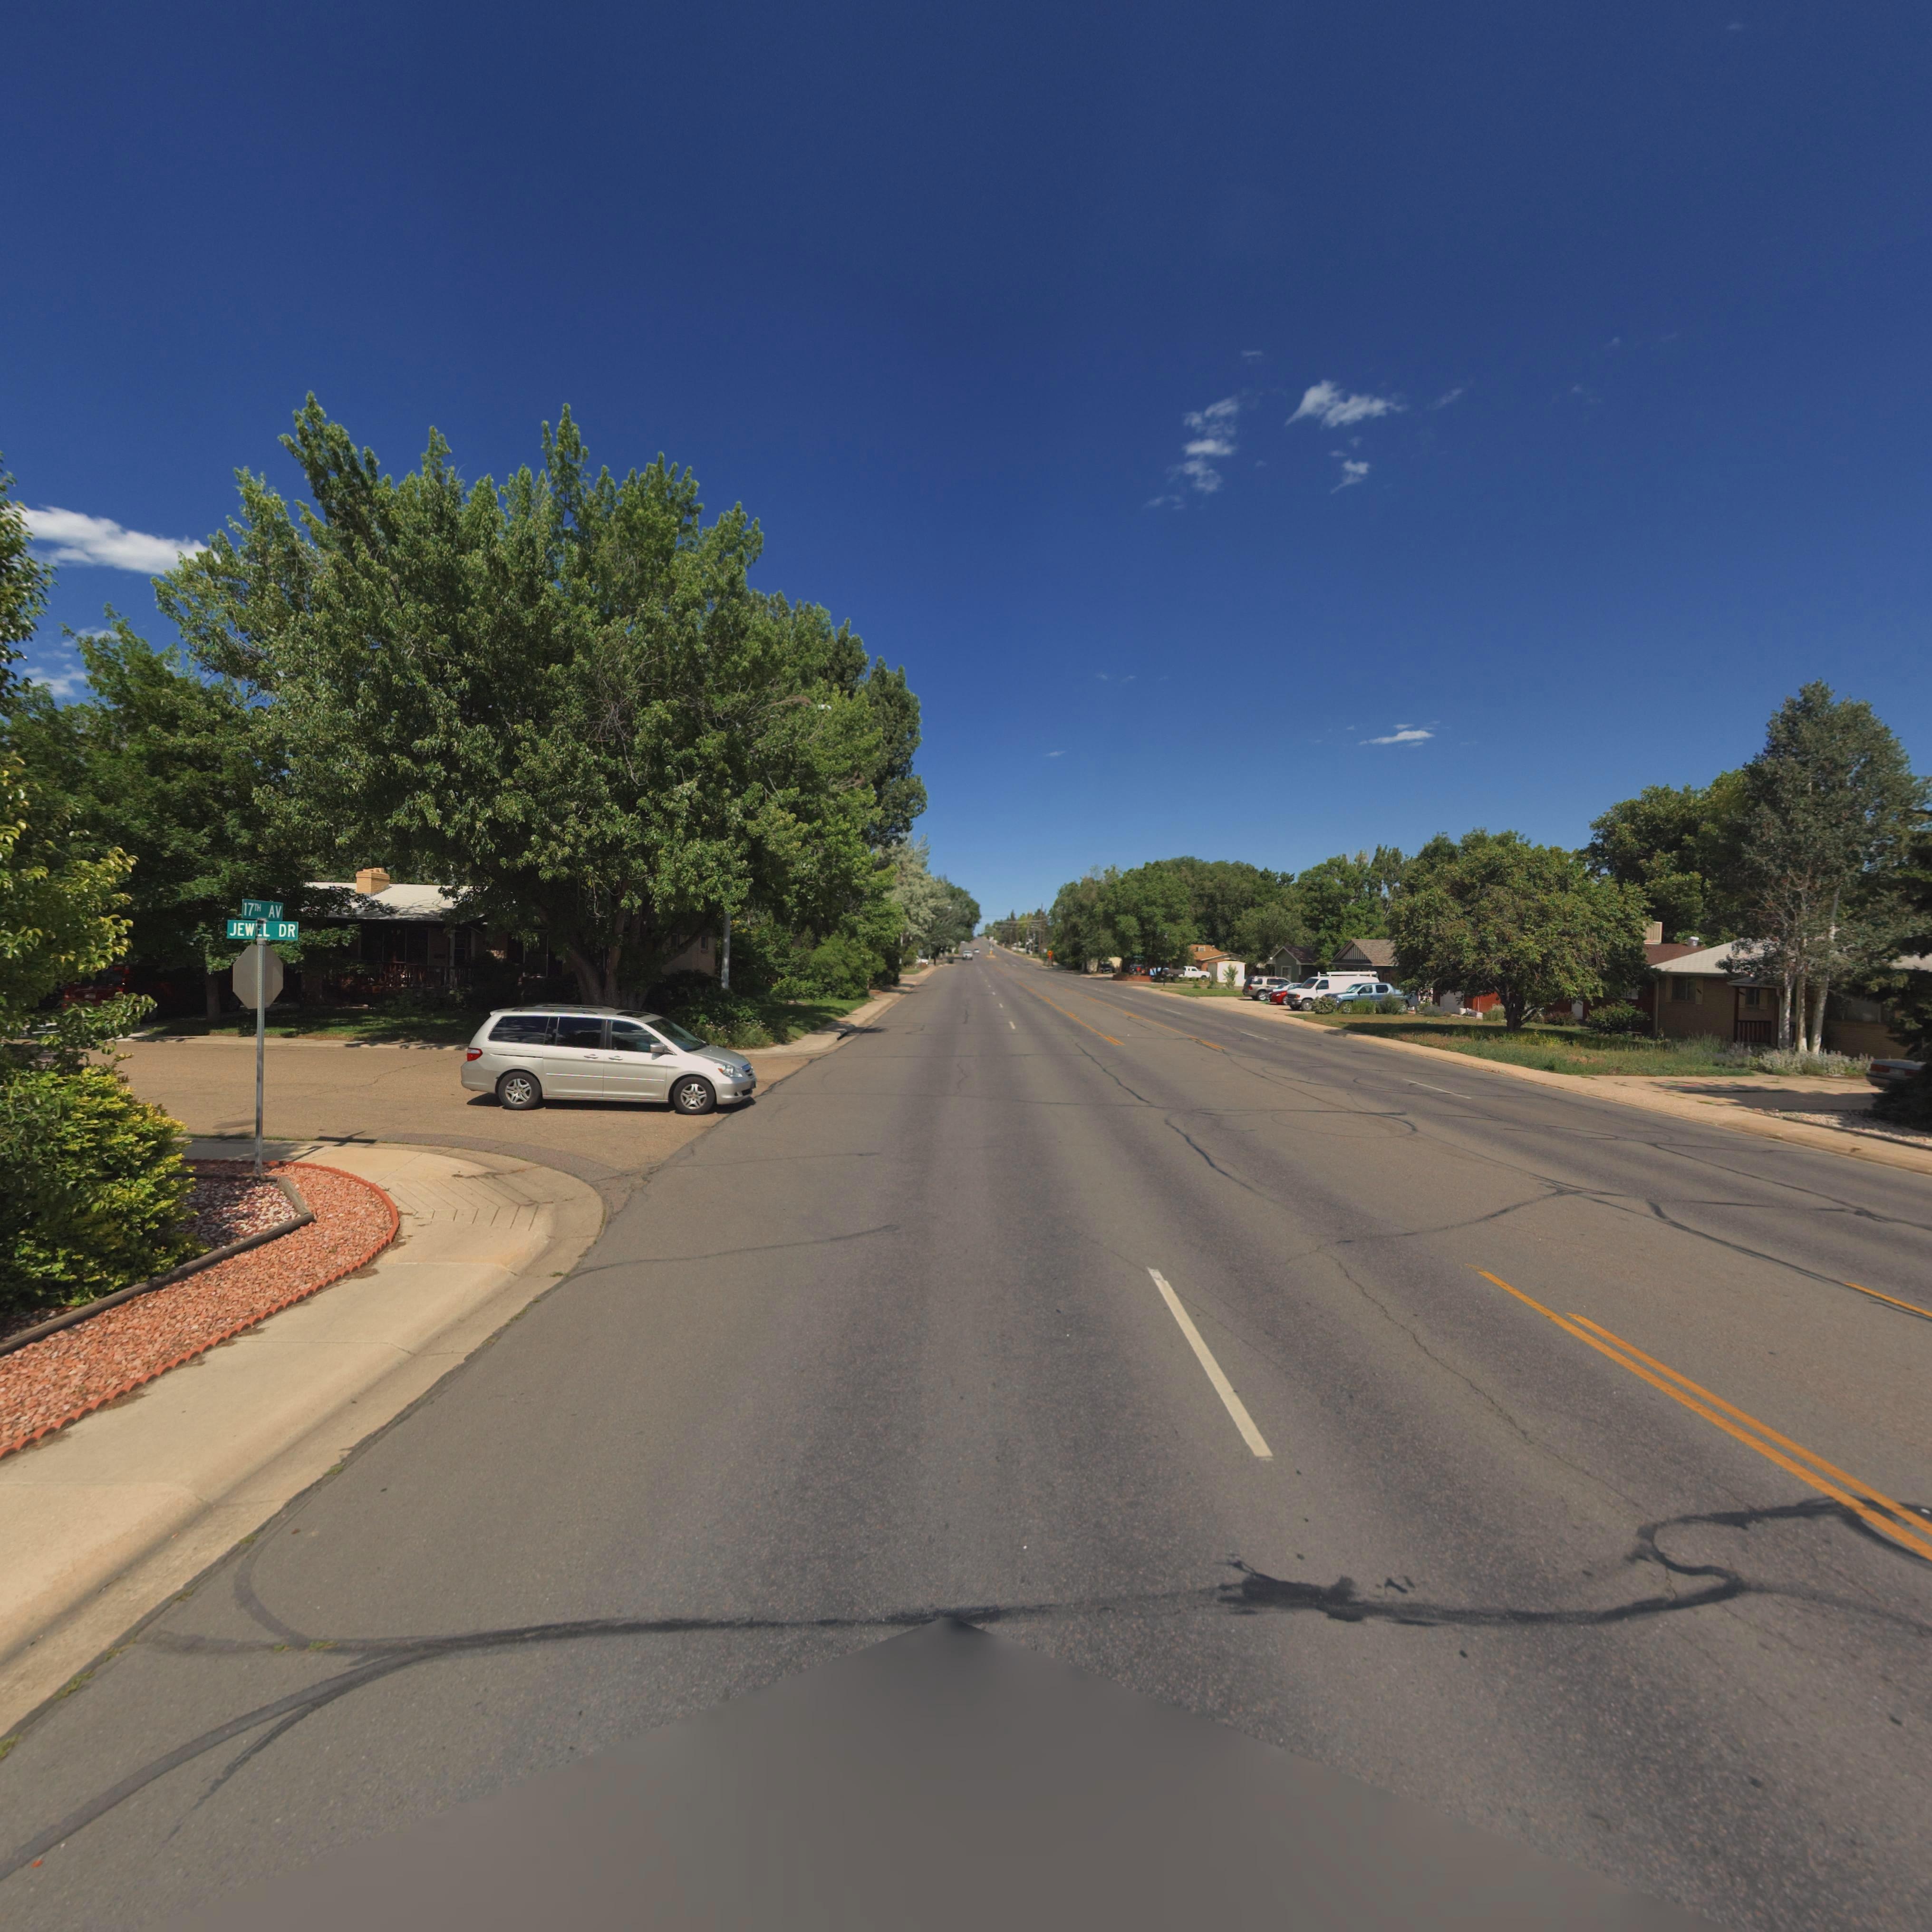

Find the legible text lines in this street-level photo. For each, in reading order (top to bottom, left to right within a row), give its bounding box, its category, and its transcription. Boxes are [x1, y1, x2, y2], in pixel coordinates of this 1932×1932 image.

[243, 902, 281, 918] StreetName: 17TH AV
[228, 922, 296, 937] StreetName: JEWEL DR